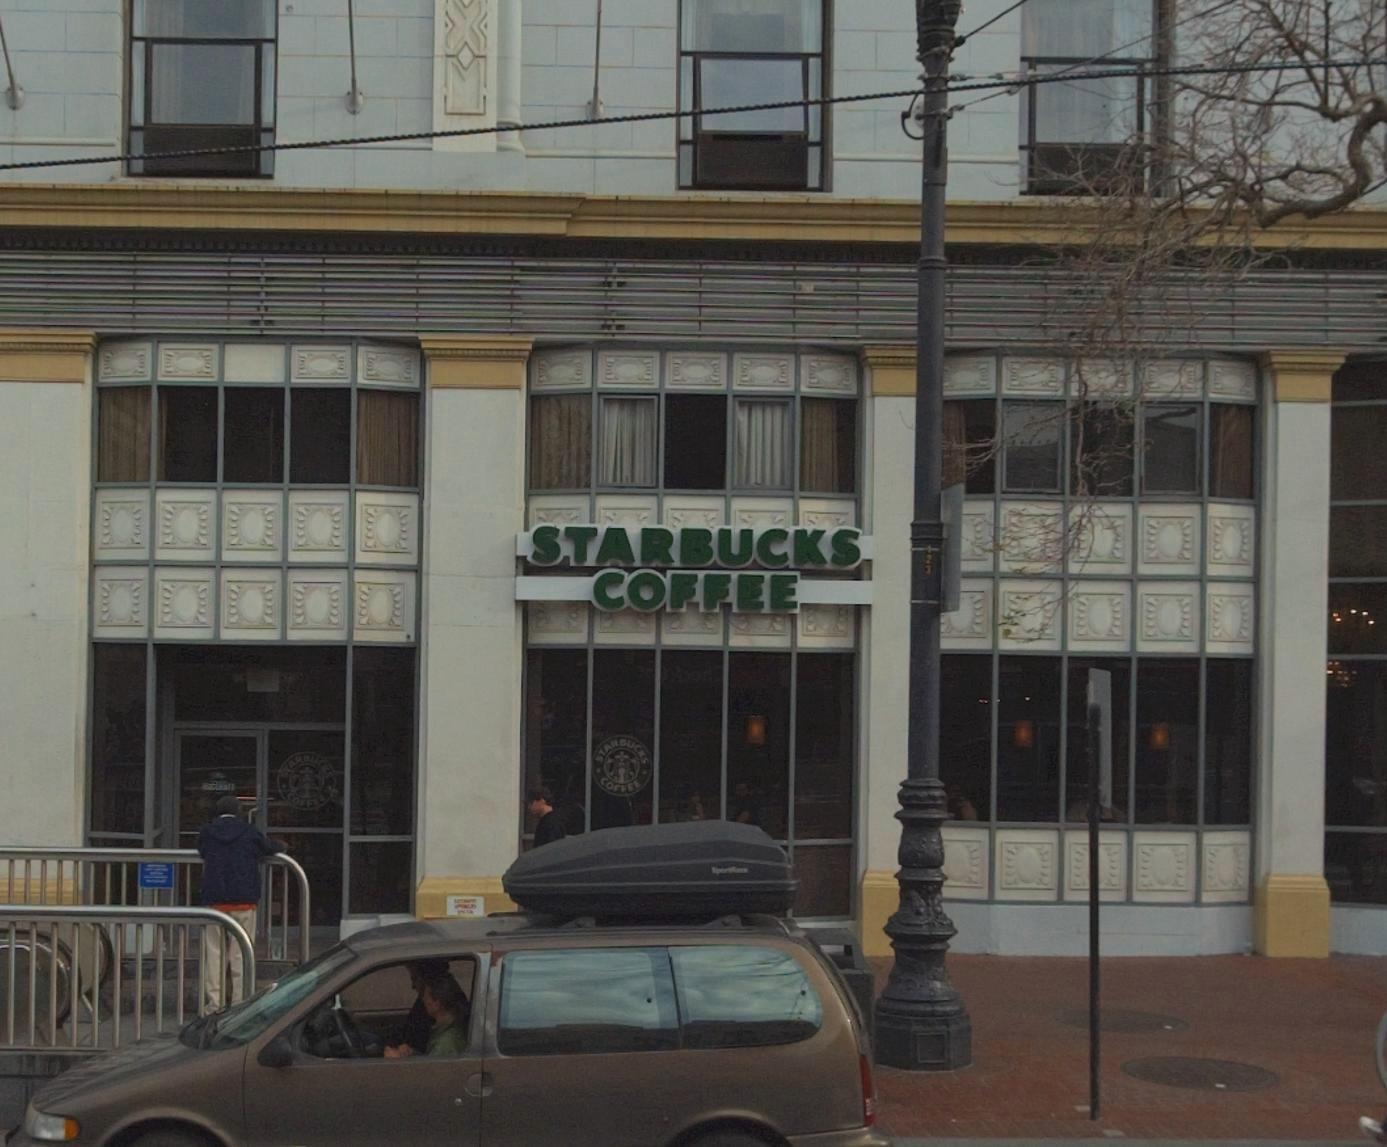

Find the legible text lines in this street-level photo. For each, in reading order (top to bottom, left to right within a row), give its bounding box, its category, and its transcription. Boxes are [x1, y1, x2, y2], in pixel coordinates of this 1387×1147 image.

[528, 523, 864, 569] BusinessName: STARBUCKS
[589, 570, 800, 614] BusinessName: COFFEE
[274, 750, 336, 782] BusinessName: STARBUCK*
[593, 736, 653, 767] BusinessName: STARBUCKS
[283, 789, 329, 811] BusinessName: COFFEE
[597, 774, 644, 795] BusinessName: COFFEE